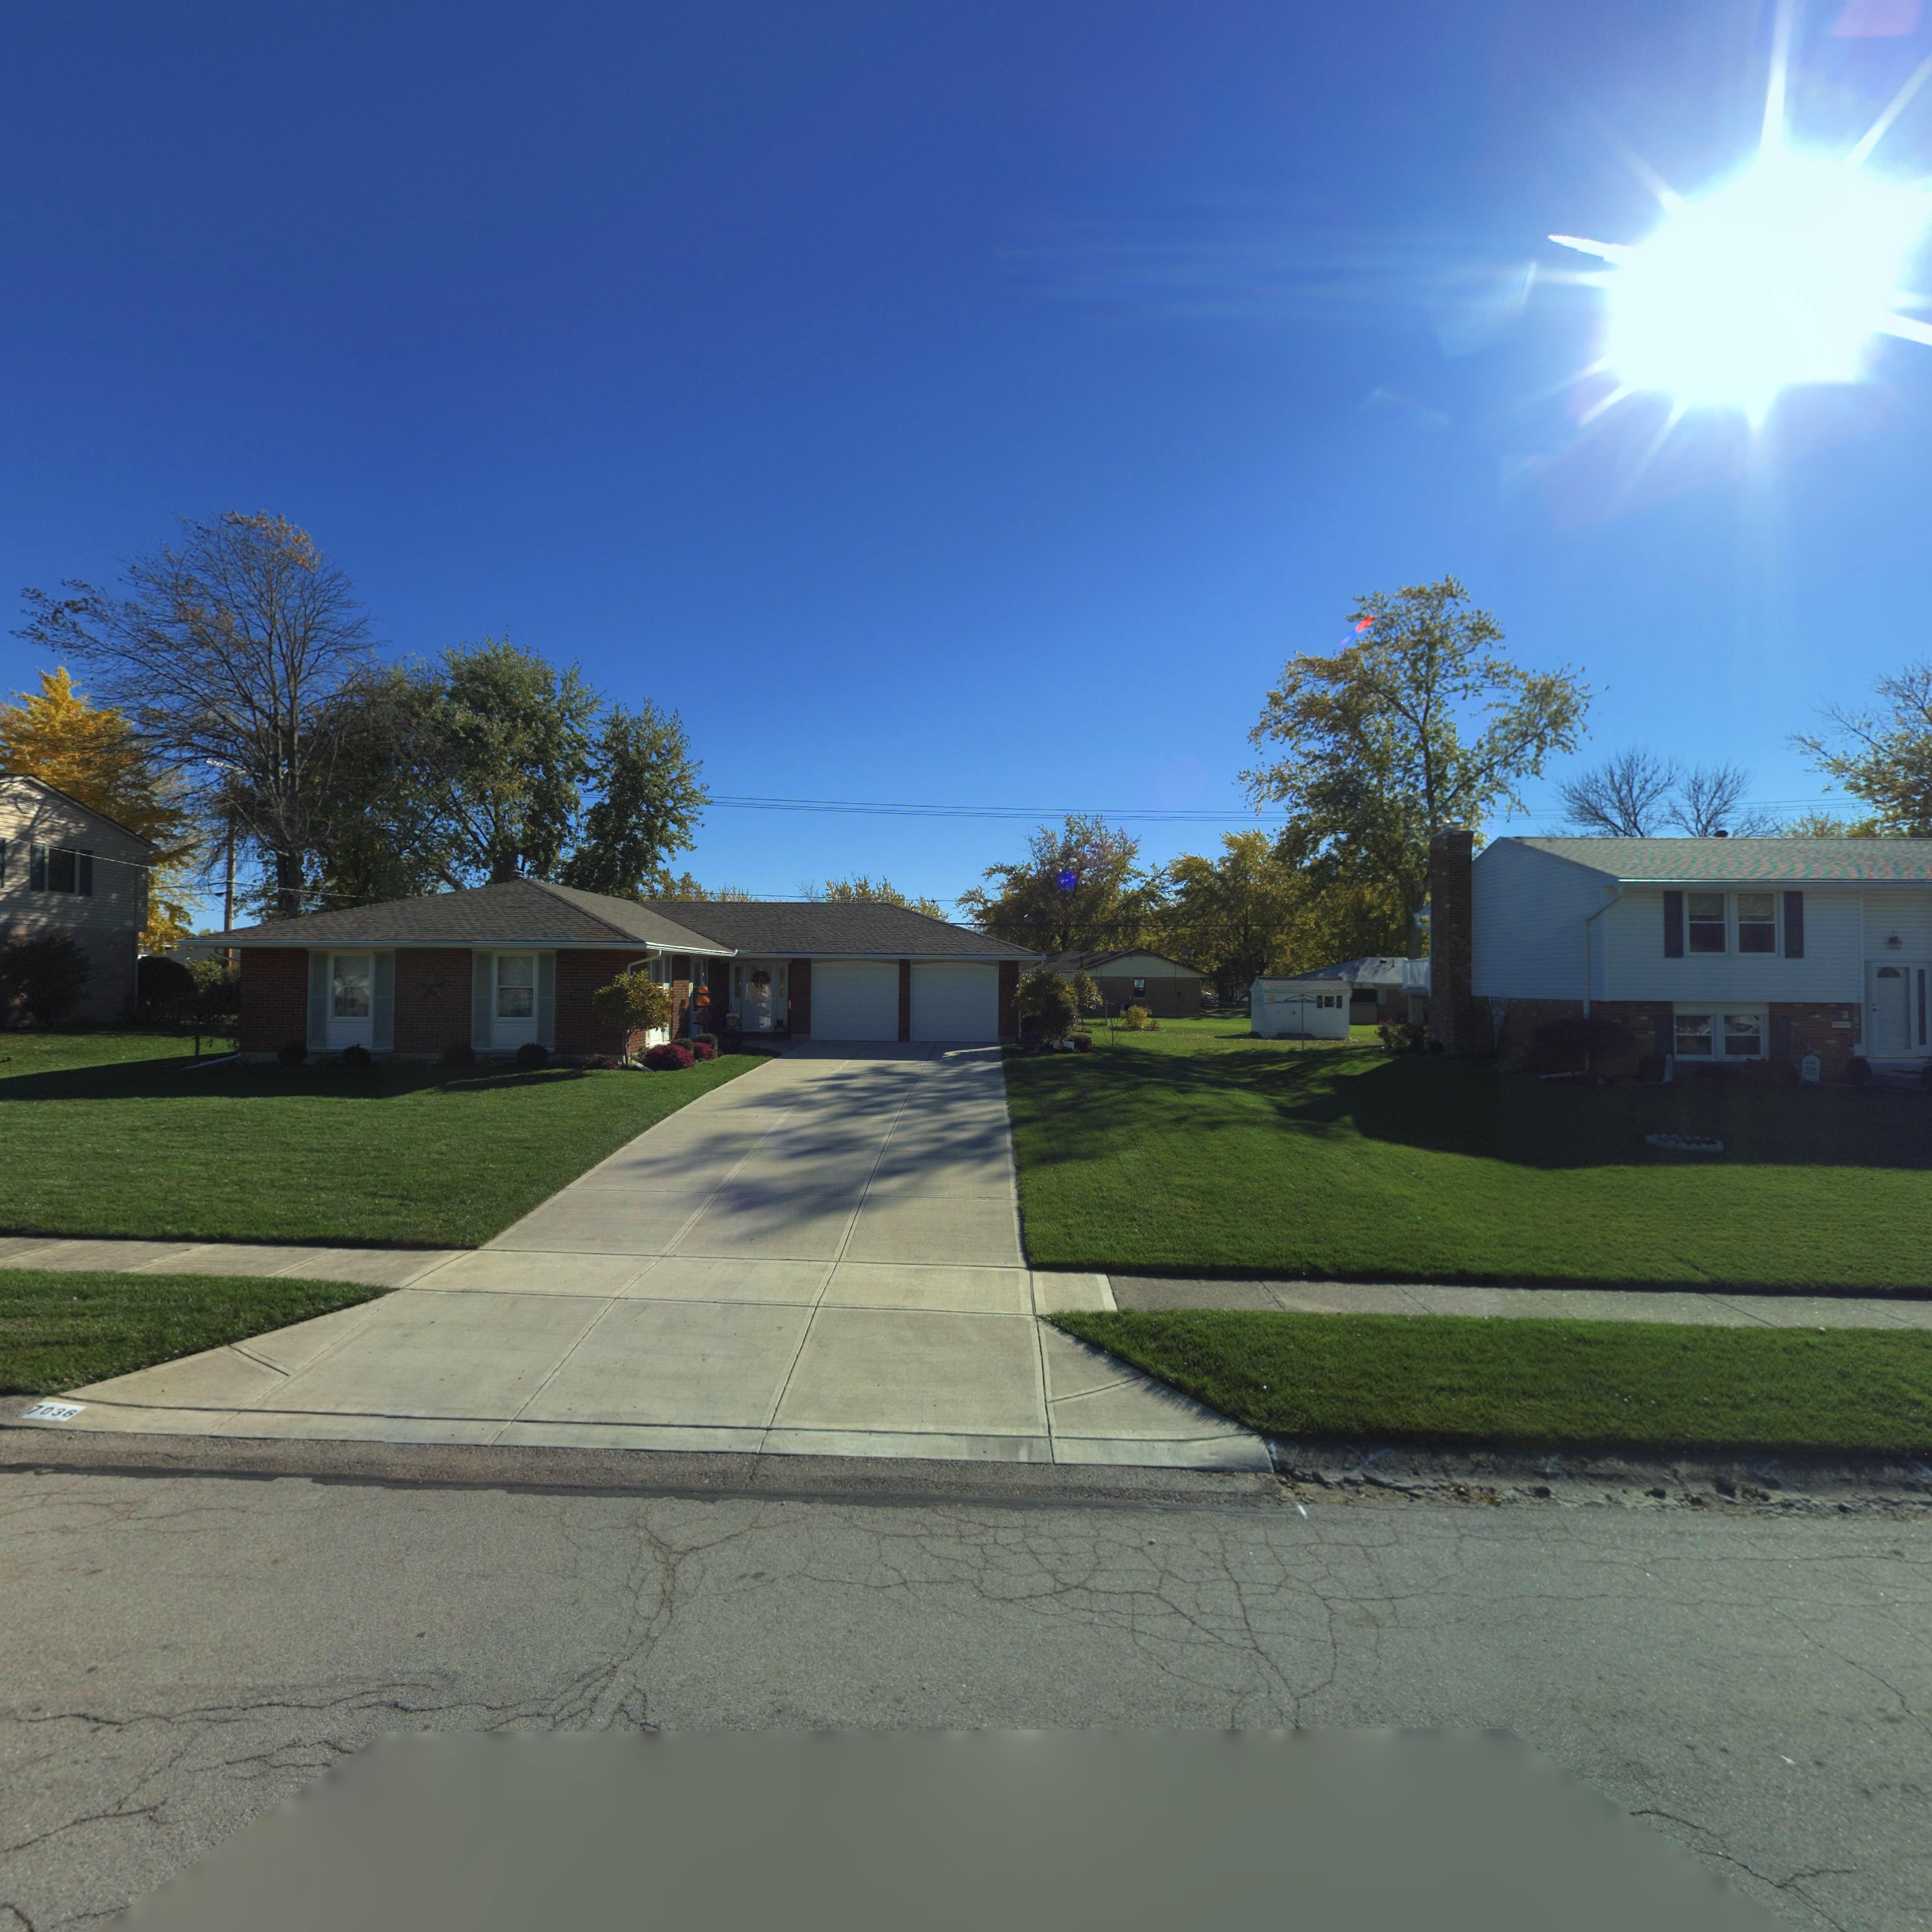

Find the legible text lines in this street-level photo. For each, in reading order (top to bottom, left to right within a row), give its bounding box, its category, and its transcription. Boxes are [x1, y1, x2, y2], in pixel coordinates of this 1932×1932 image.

[848, 962, 863, 969] StreetNumber: 70**
[25, 1403, 79, 1419] StreetNumber: 7036